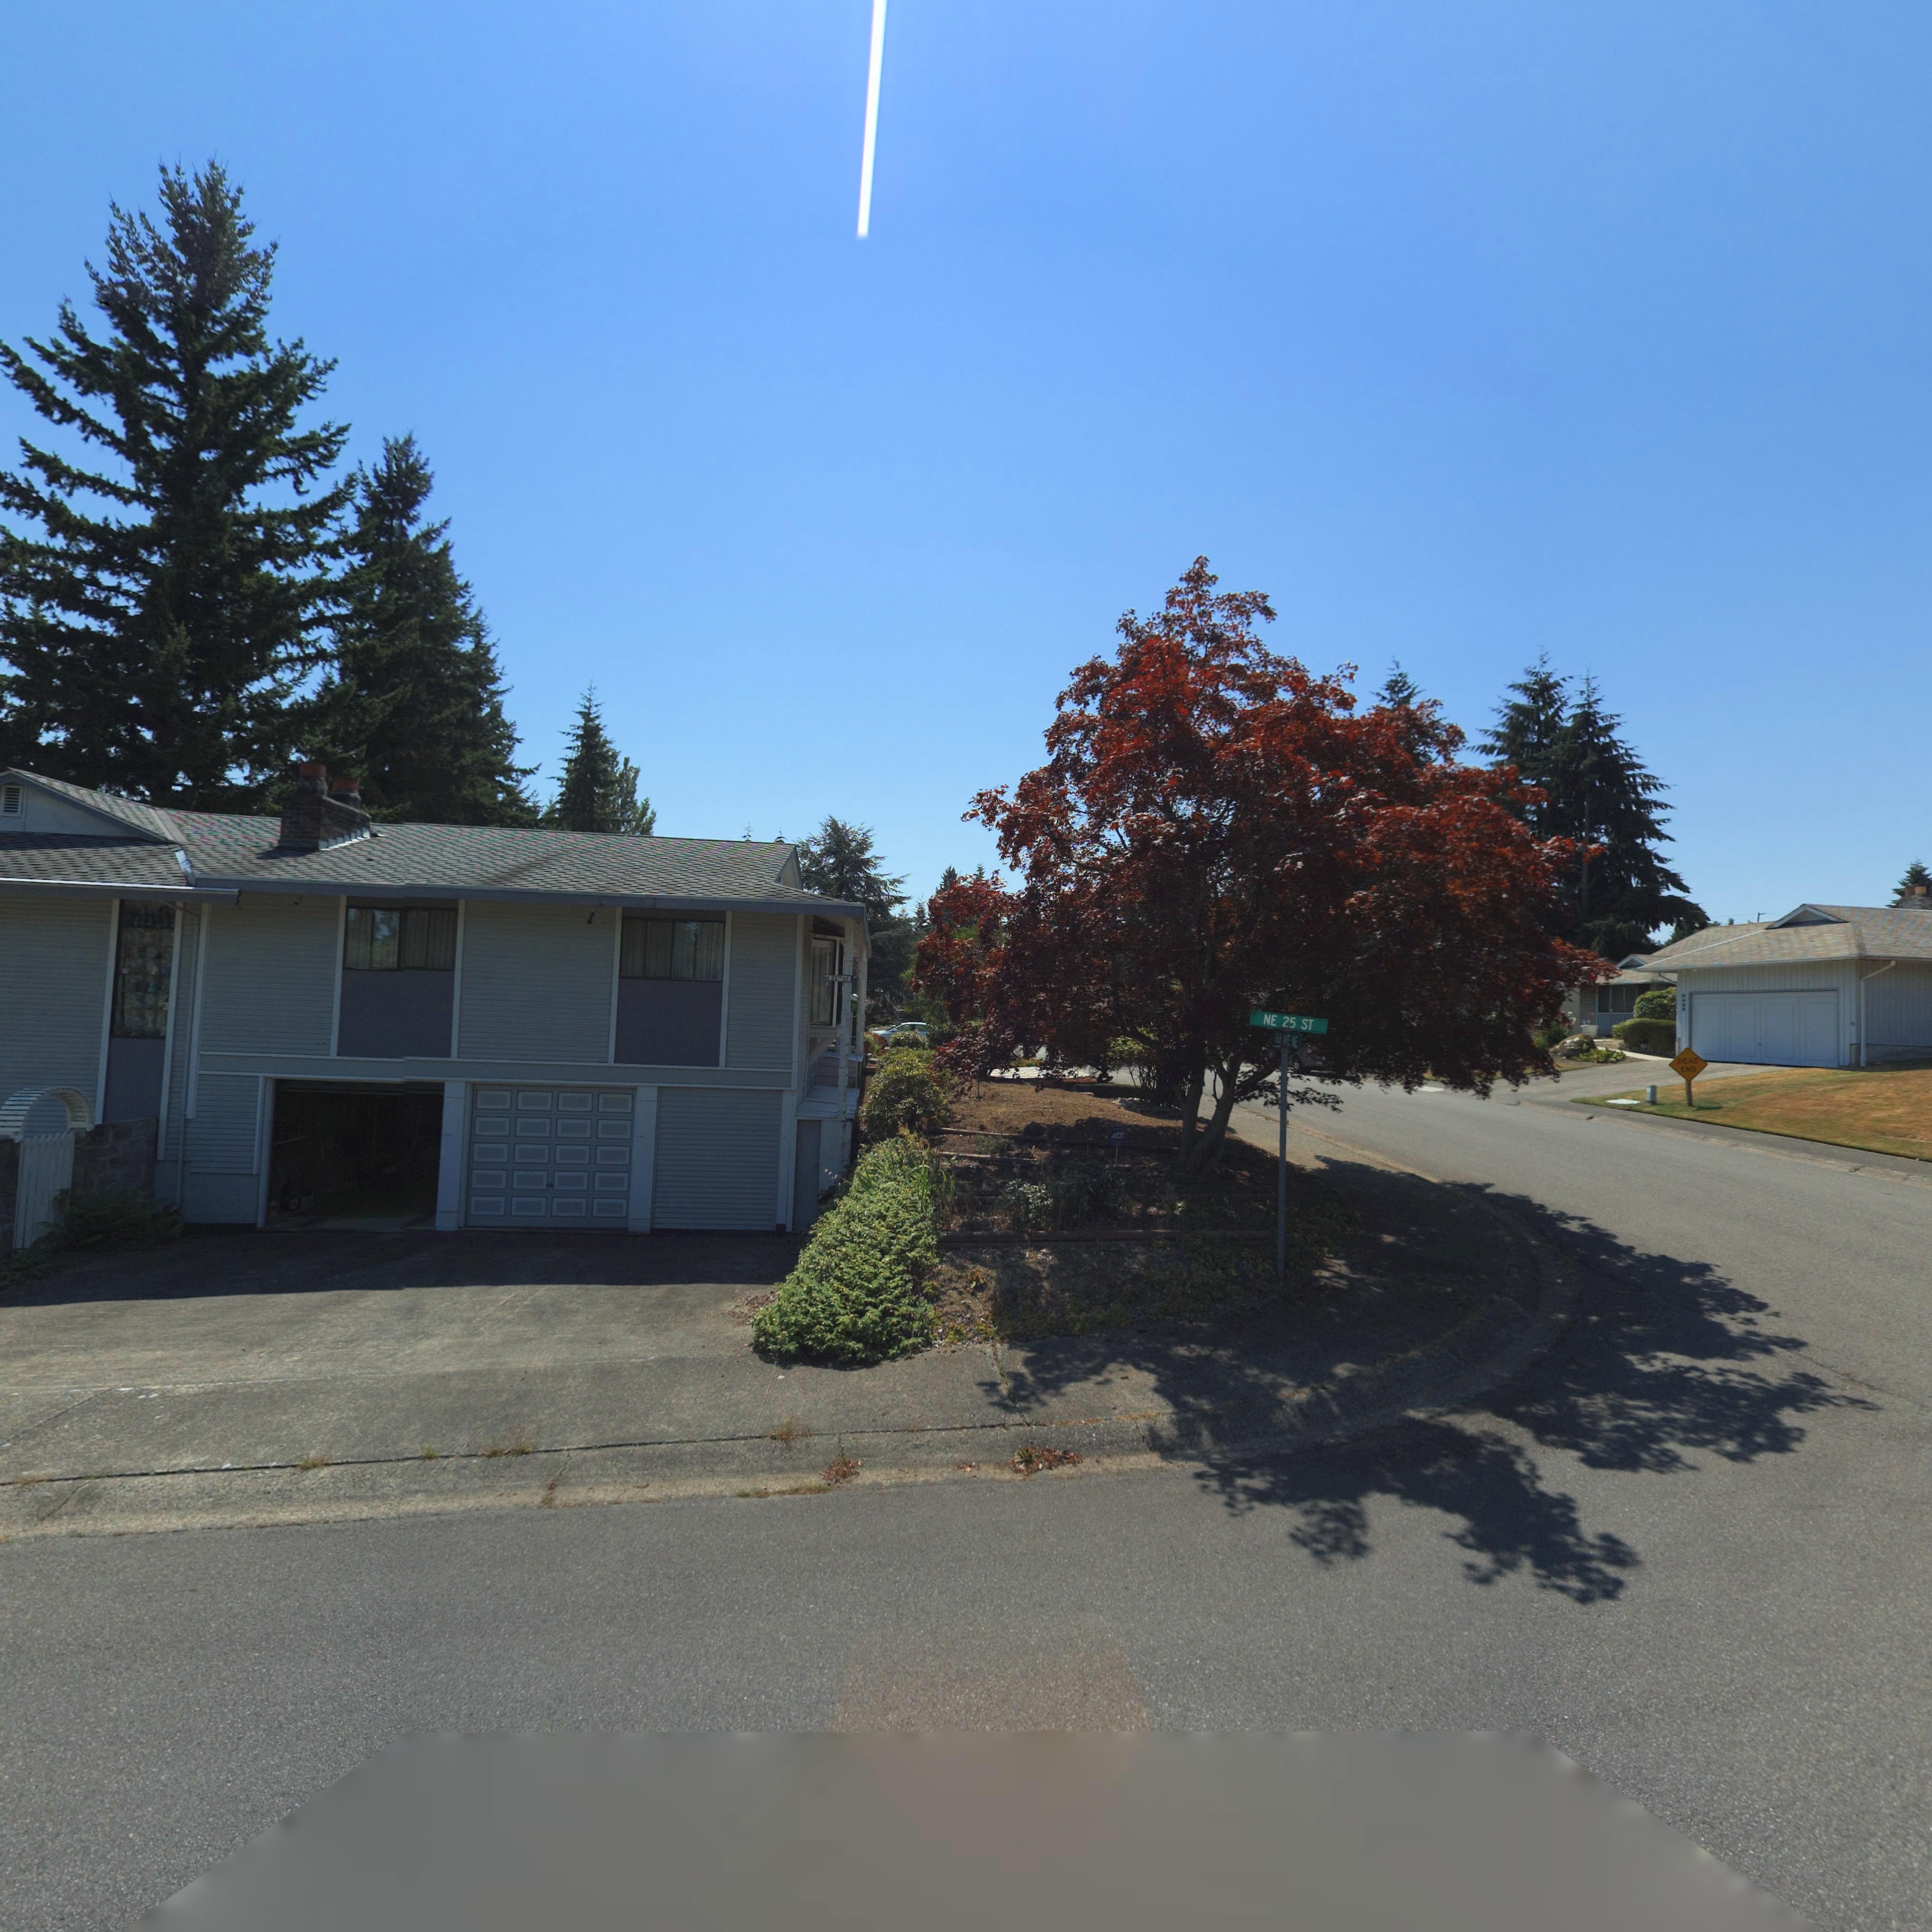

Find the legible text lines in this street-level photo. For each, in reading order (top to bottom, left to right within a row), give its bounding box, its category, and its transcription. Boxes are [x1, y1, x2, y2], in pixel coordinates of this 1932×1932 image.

[827, 976, 848, 981] StreetName: *E 25** ST
[1264, 1014, 1313, 1030] StreetName: NE 25 ST
[1275, 1033, 1298, 1047] StreetName: **8 **E *E